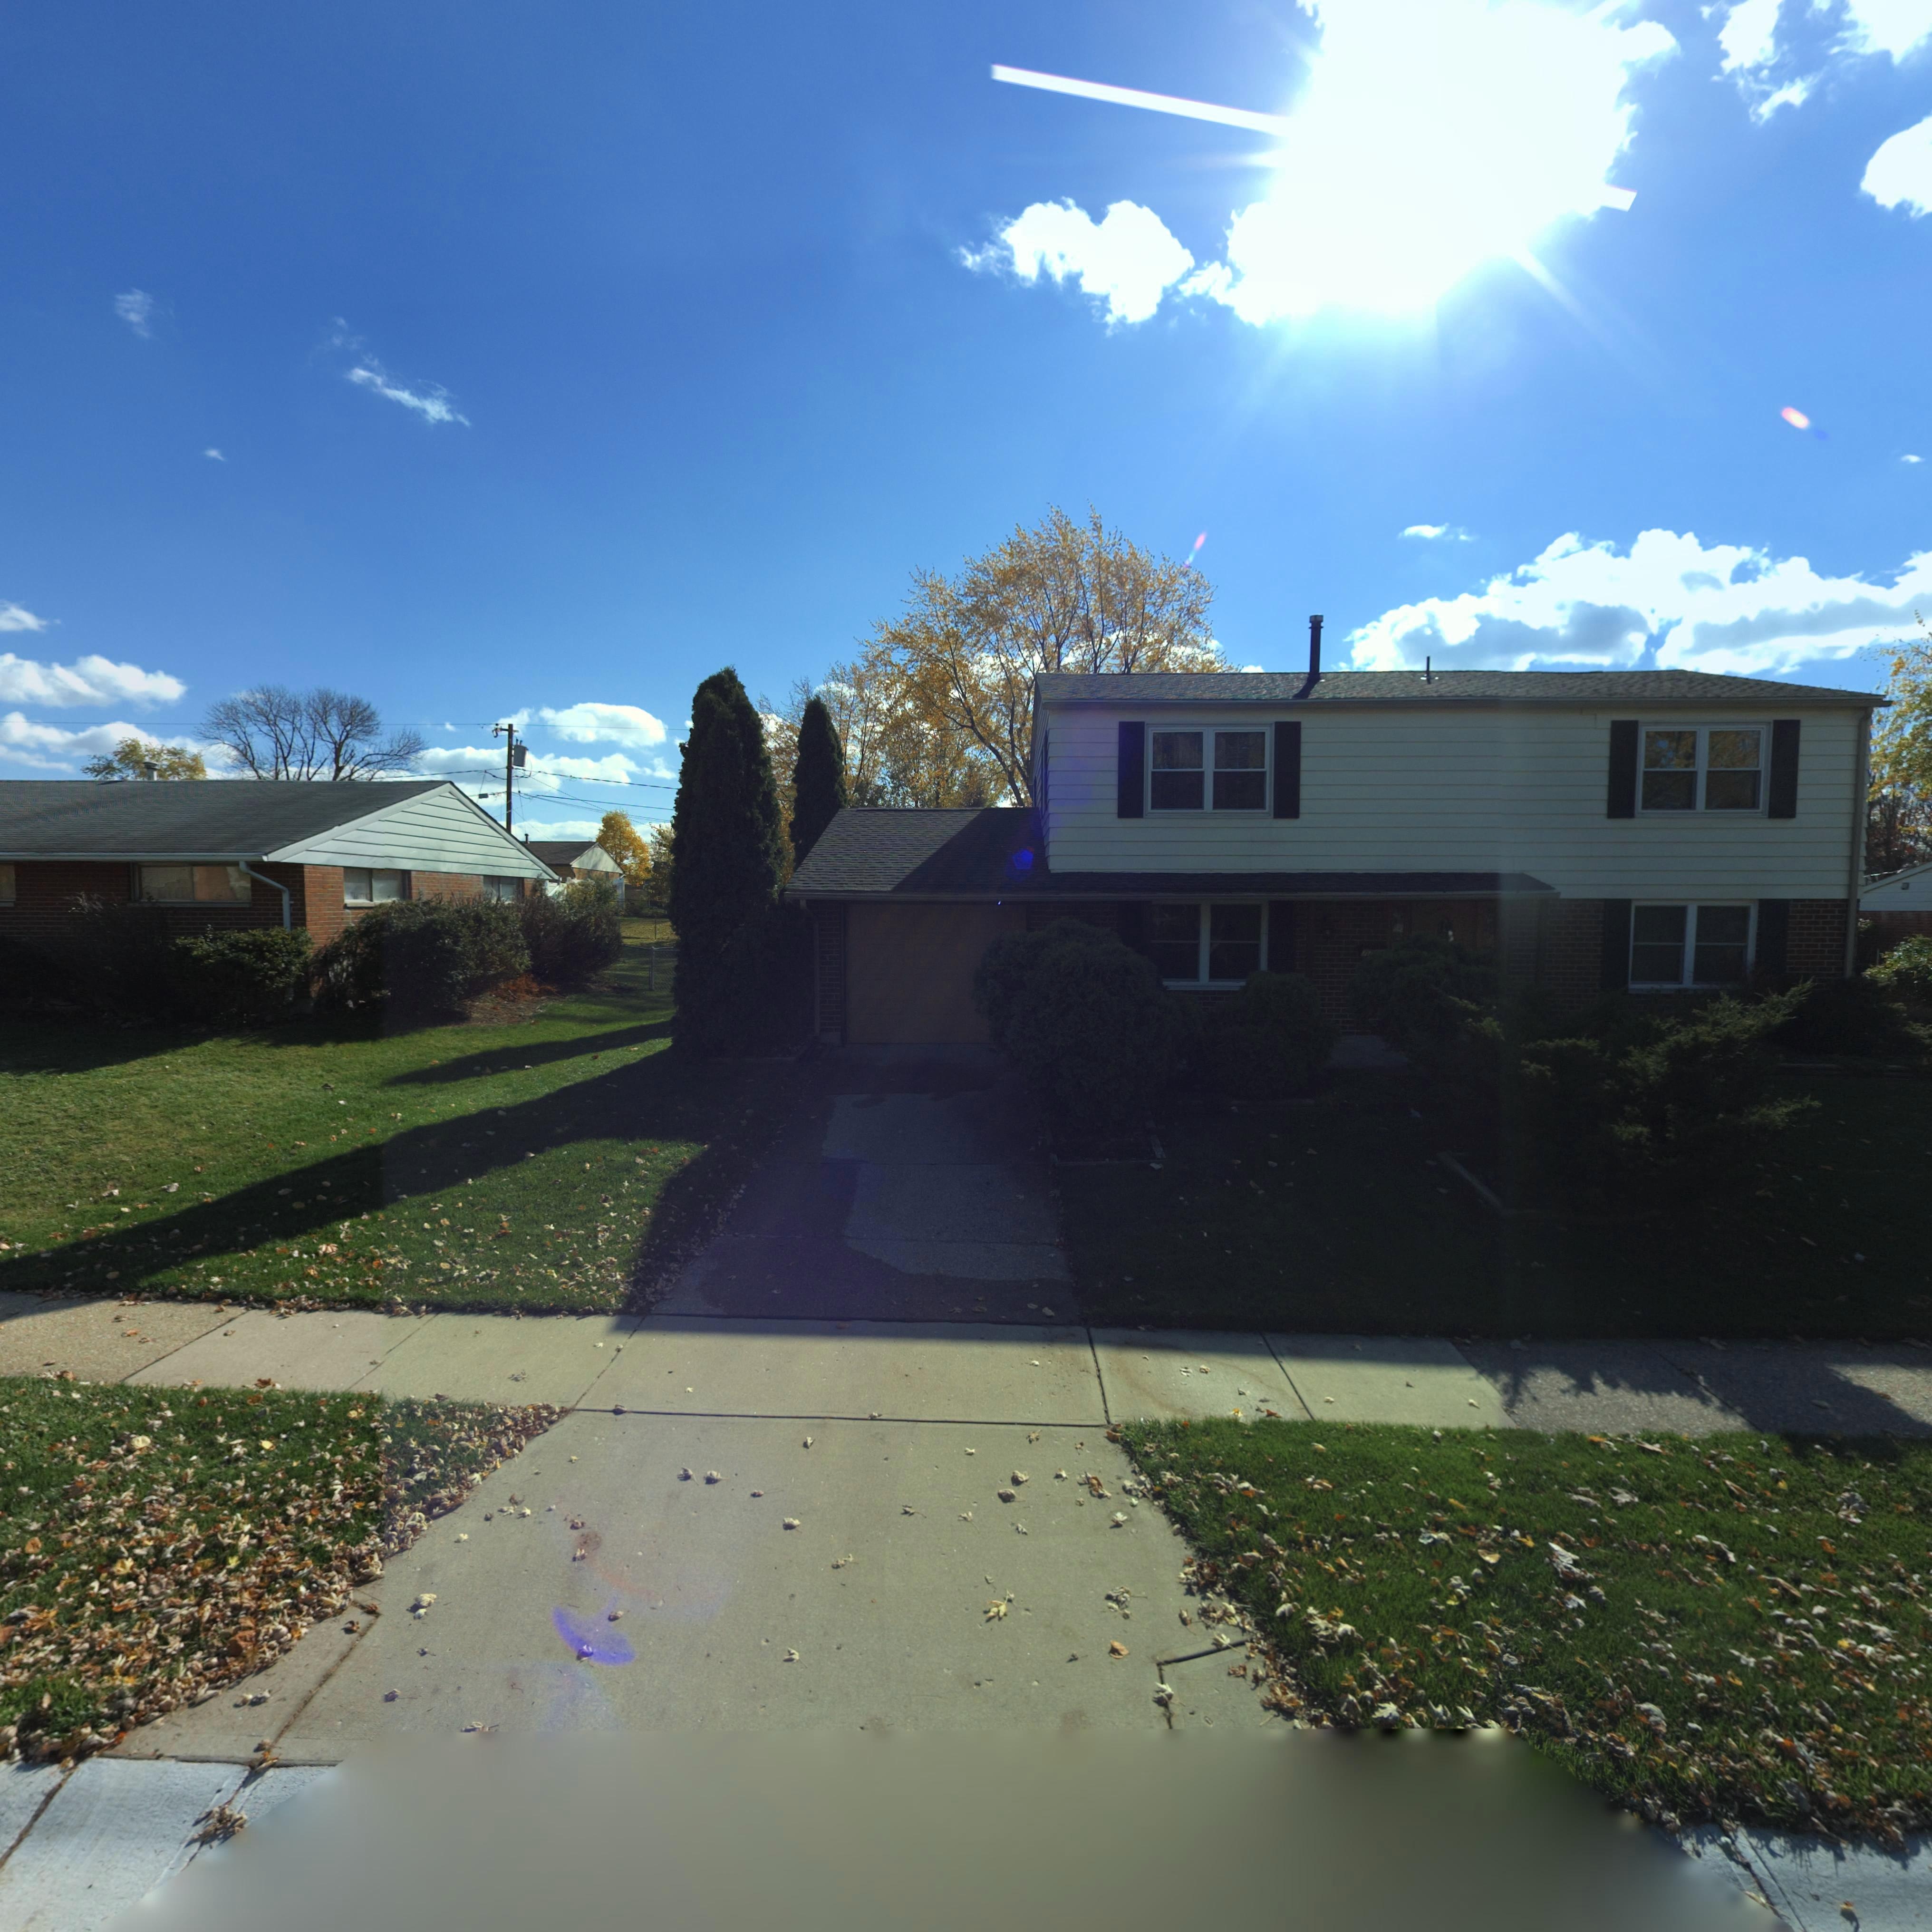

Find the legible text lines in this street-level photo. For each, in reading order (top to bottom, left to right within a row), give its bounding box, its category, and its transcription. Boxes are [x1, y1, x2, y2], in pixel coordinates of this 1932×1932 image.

[1362, 949, 1373, 956] StreetNumber: 77